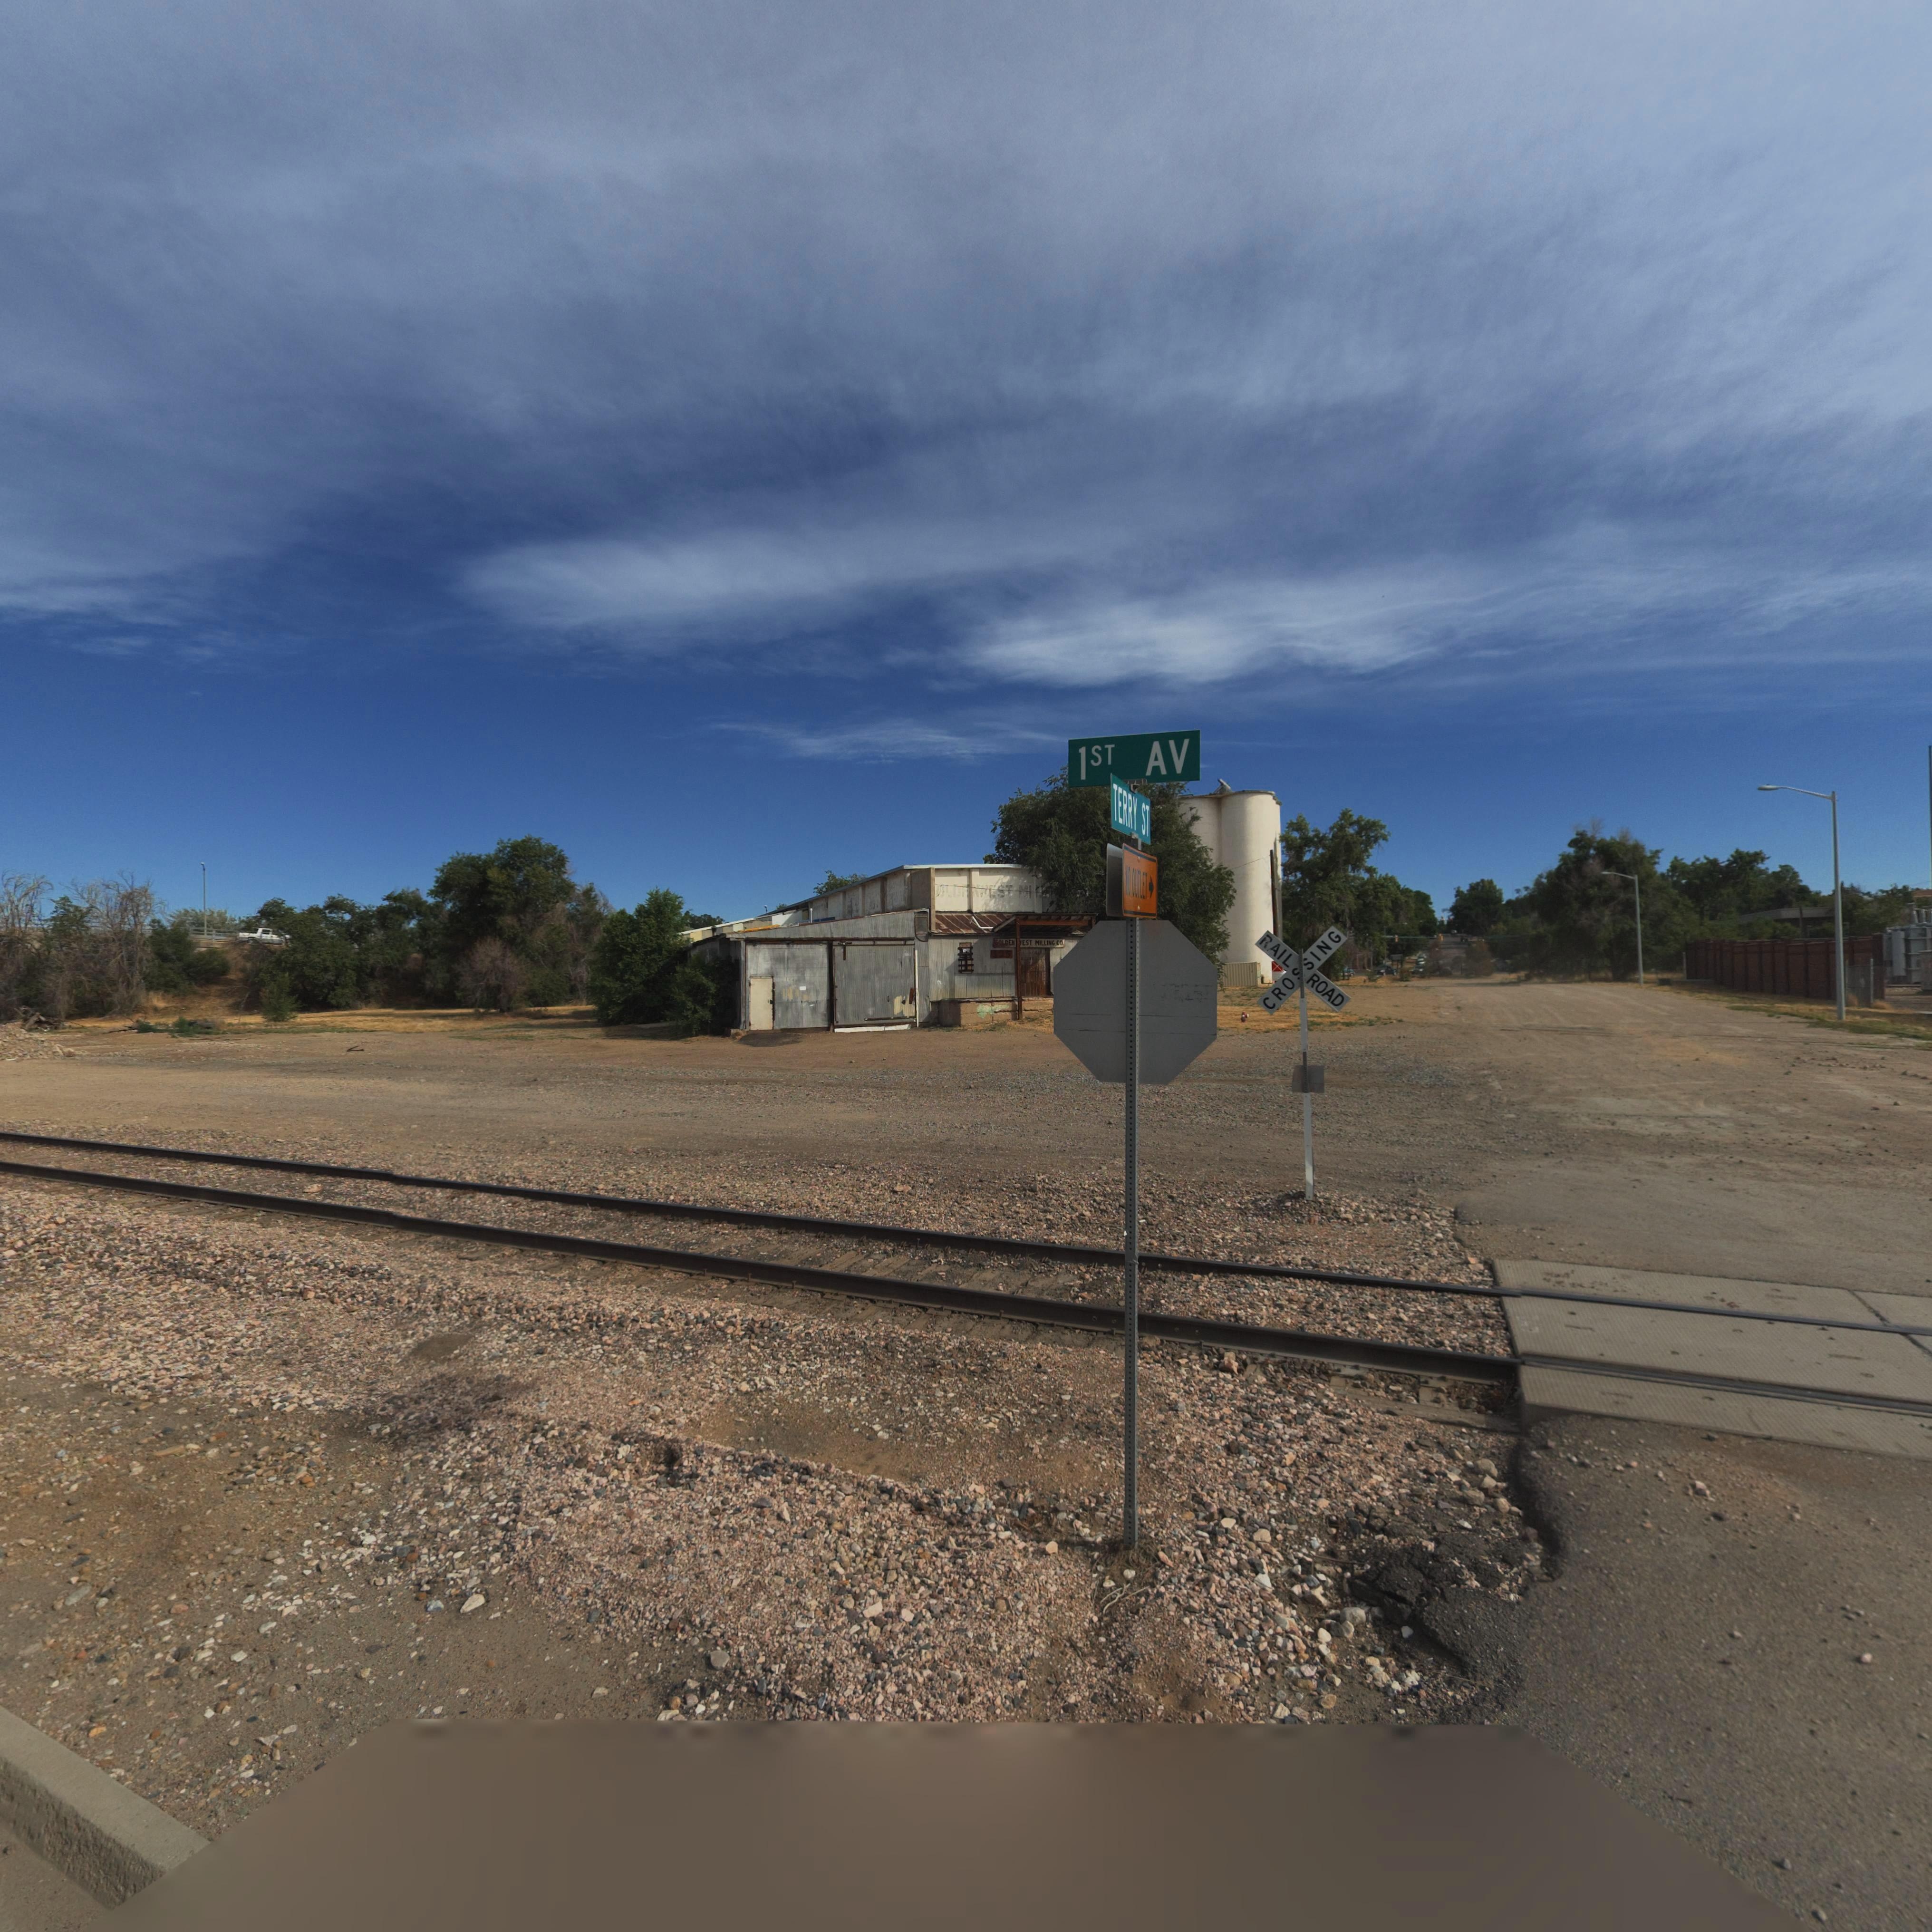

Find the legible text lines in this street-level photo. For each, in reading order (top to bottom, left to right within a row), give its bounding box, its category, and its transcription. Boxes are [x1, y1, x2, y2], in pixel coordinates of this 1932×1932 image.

[1078, 737, 1190, 780] StreetName: 1st AV
[1112, 782, 1150, 838] StreetName: TERRY ST